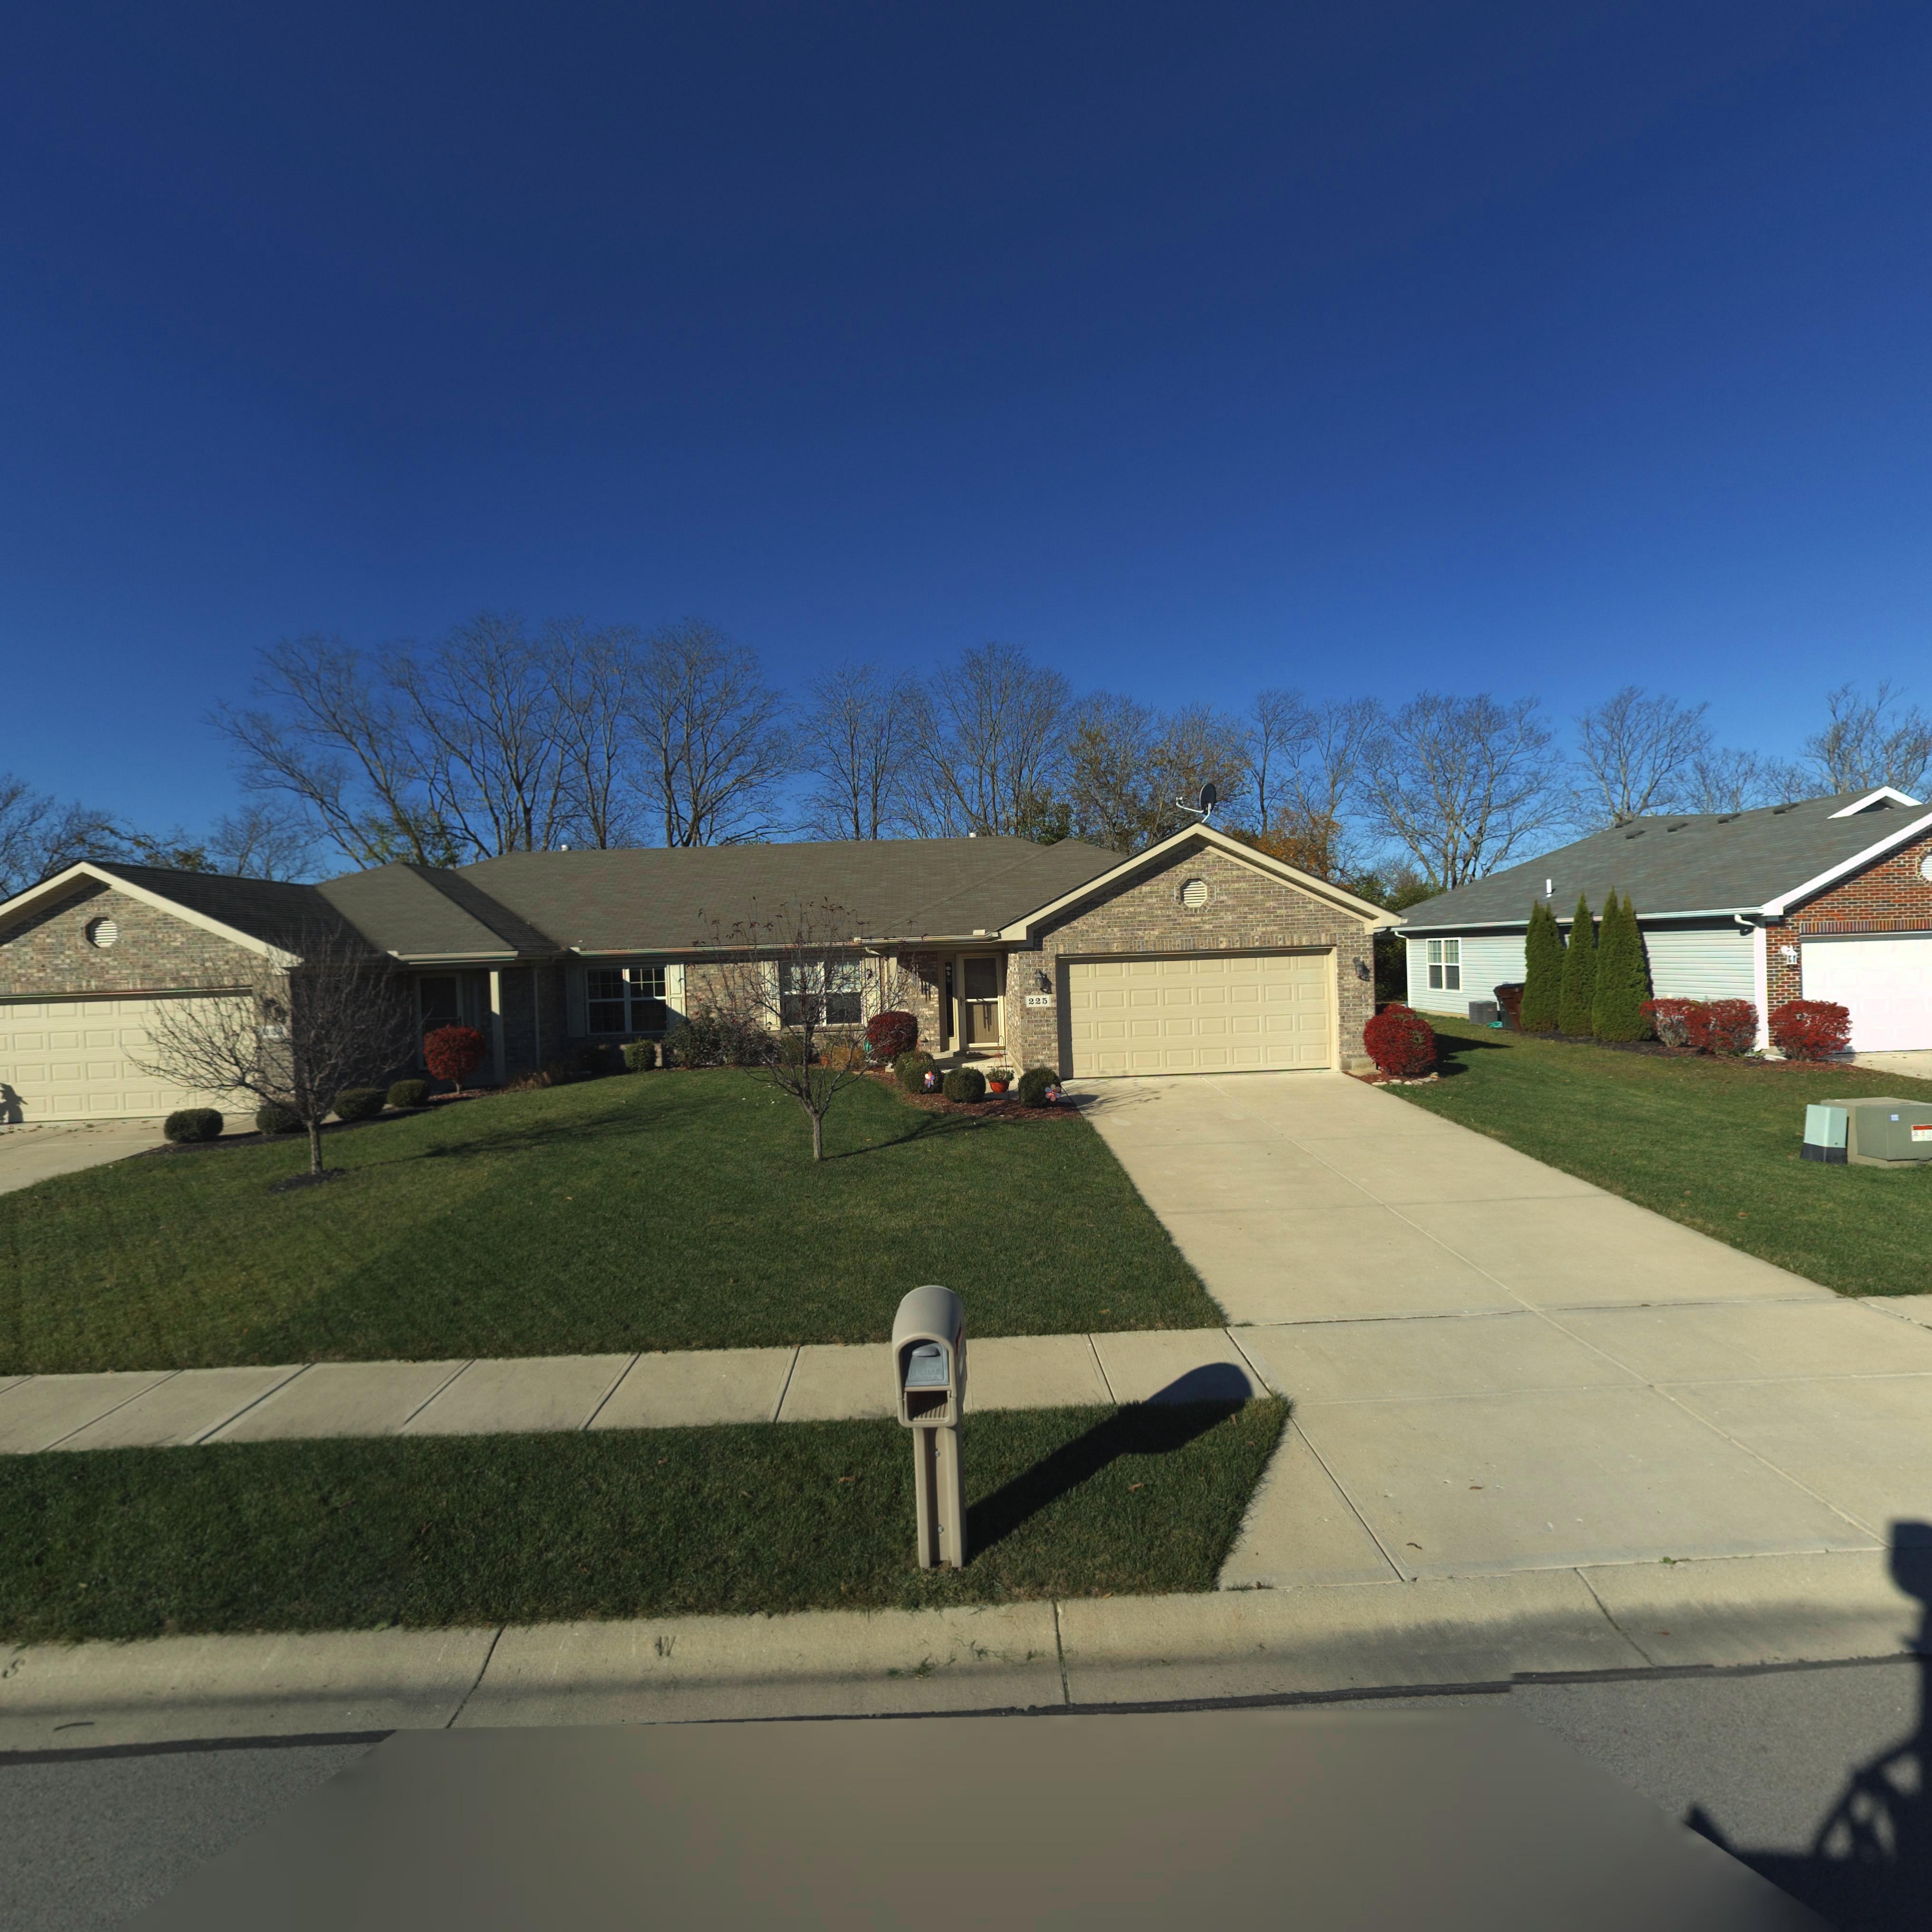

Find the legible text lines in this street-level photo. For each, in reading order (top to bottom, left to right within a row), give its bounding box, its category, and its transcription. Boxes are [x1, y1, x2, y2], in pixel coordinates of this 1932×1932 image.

[1028, 997, 1048, 1005] StreetNumber: 225